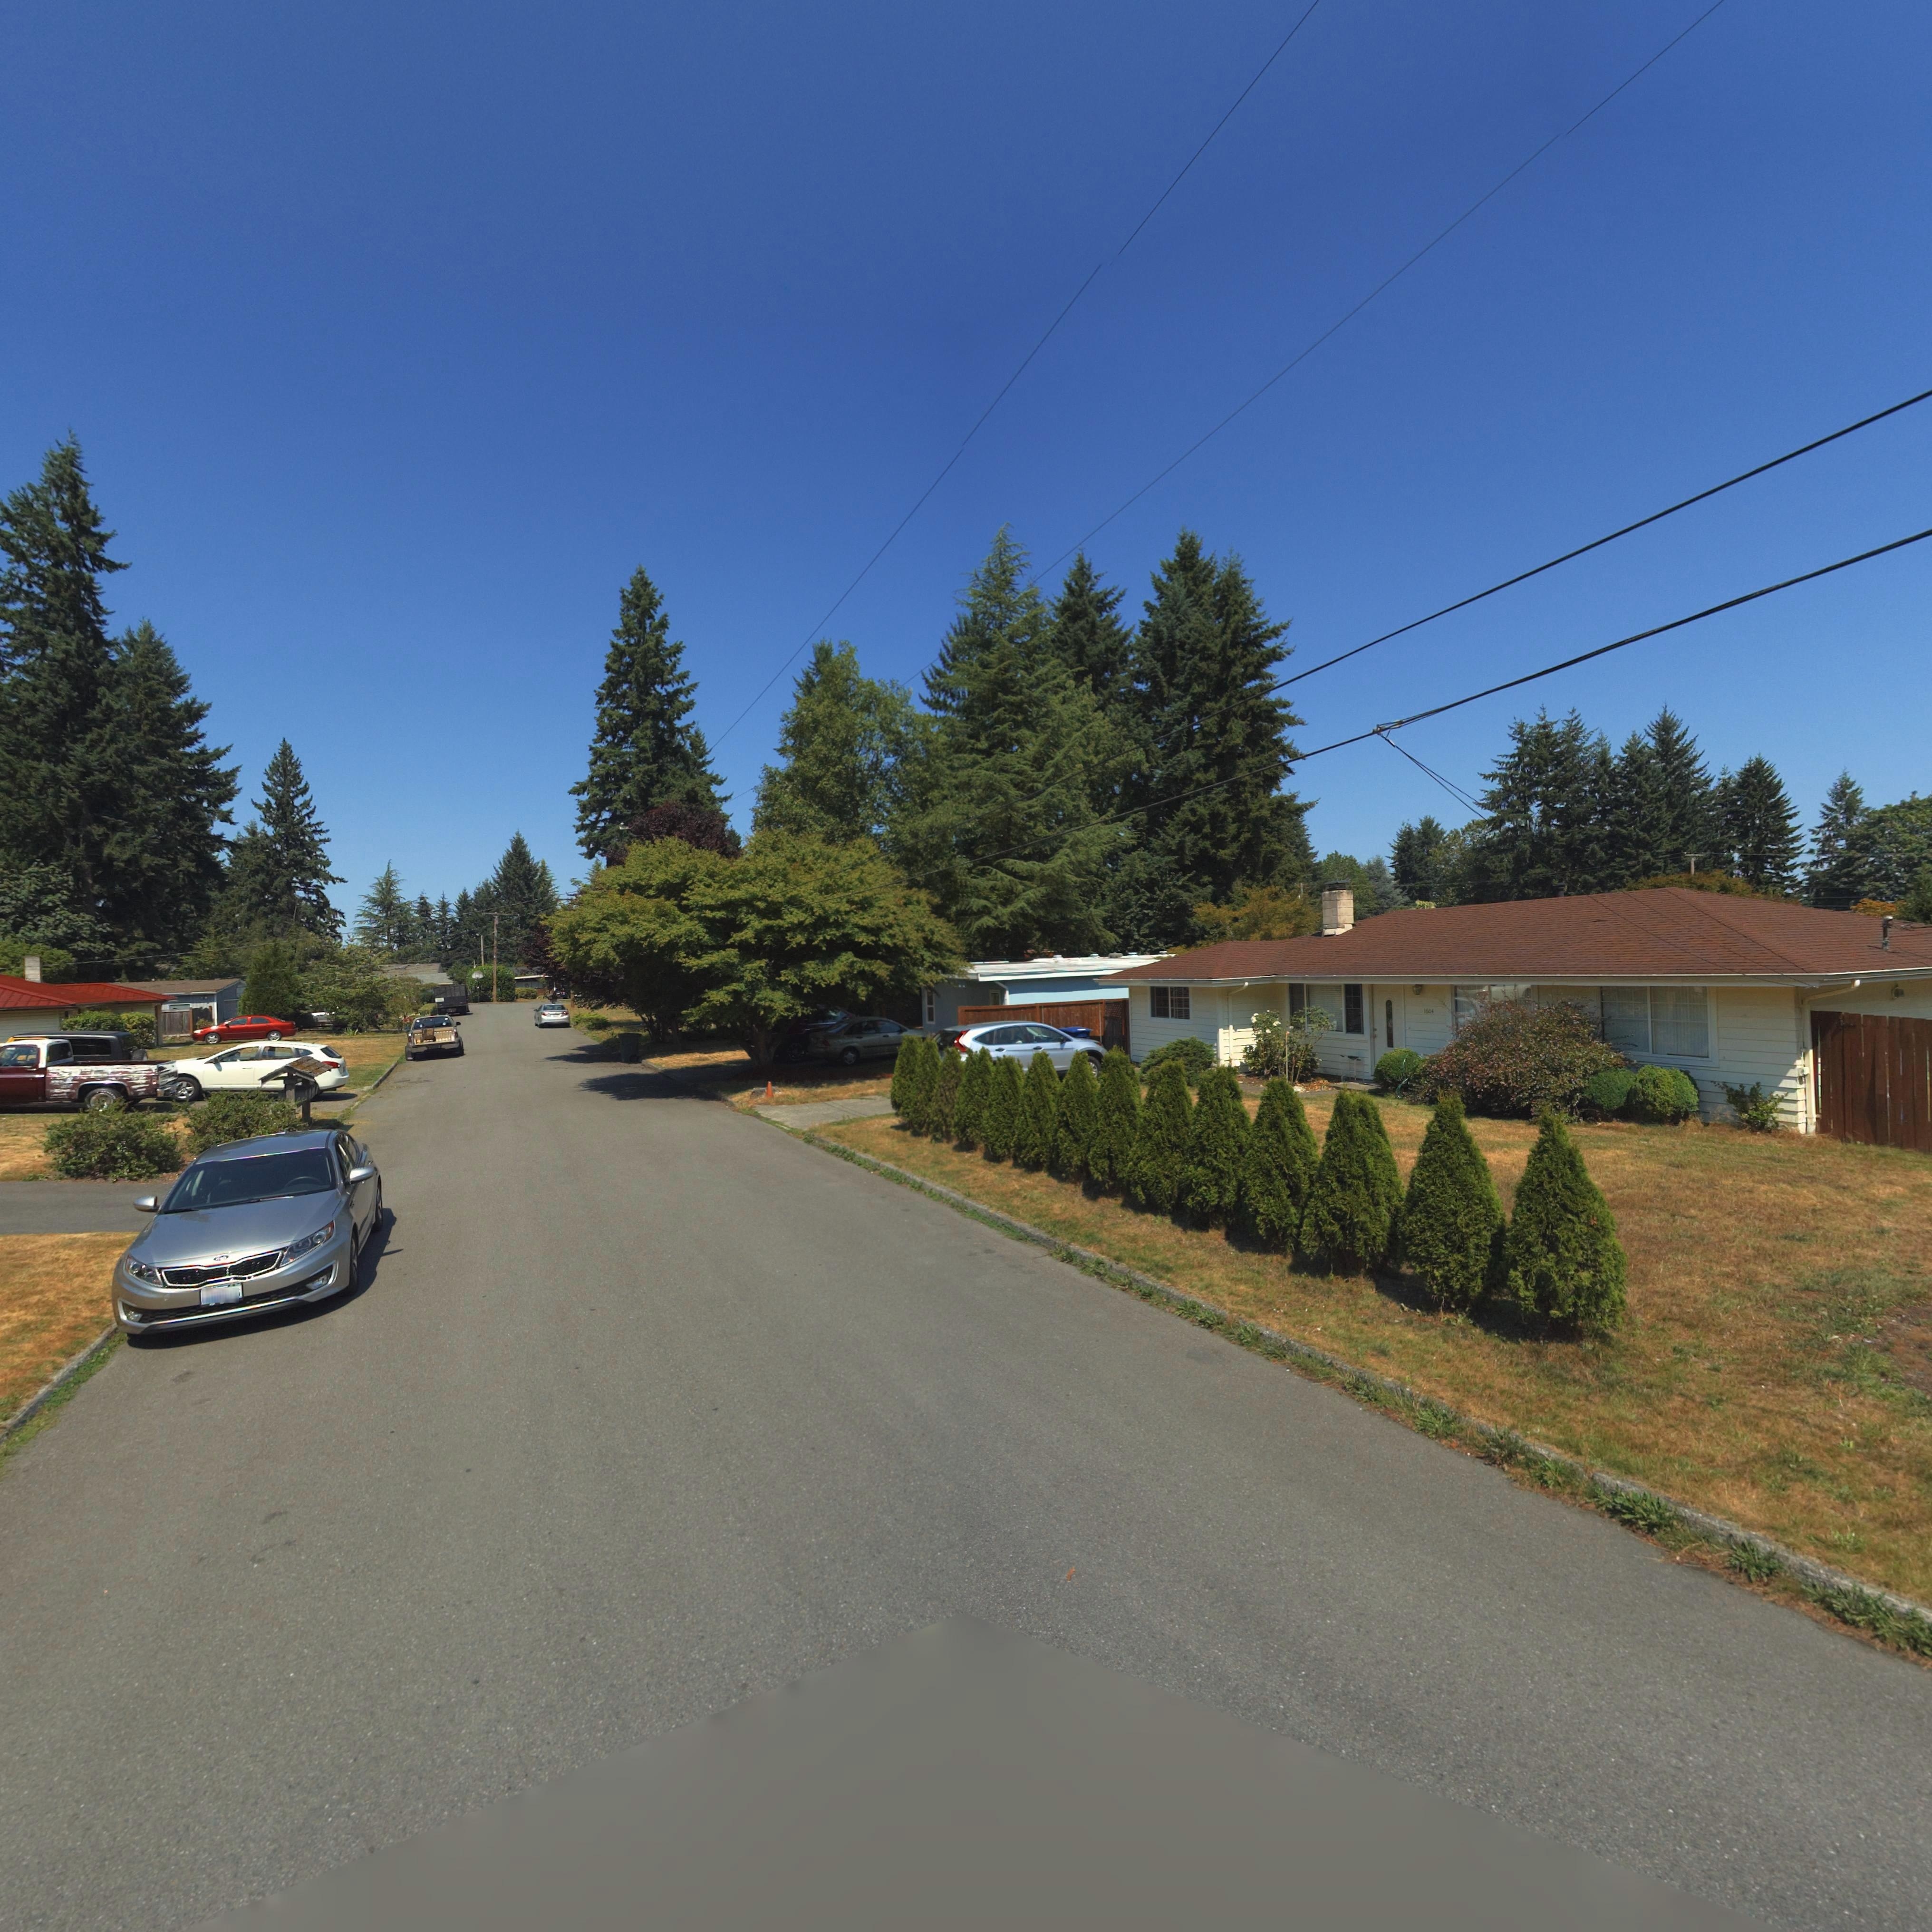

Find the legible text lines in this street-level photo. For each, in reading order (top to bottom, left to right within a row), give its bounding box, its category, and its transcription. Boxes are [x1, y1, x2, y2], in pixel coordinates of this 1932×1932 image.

[1424, 1008, 1434, 1014] StreetNumber: 1604